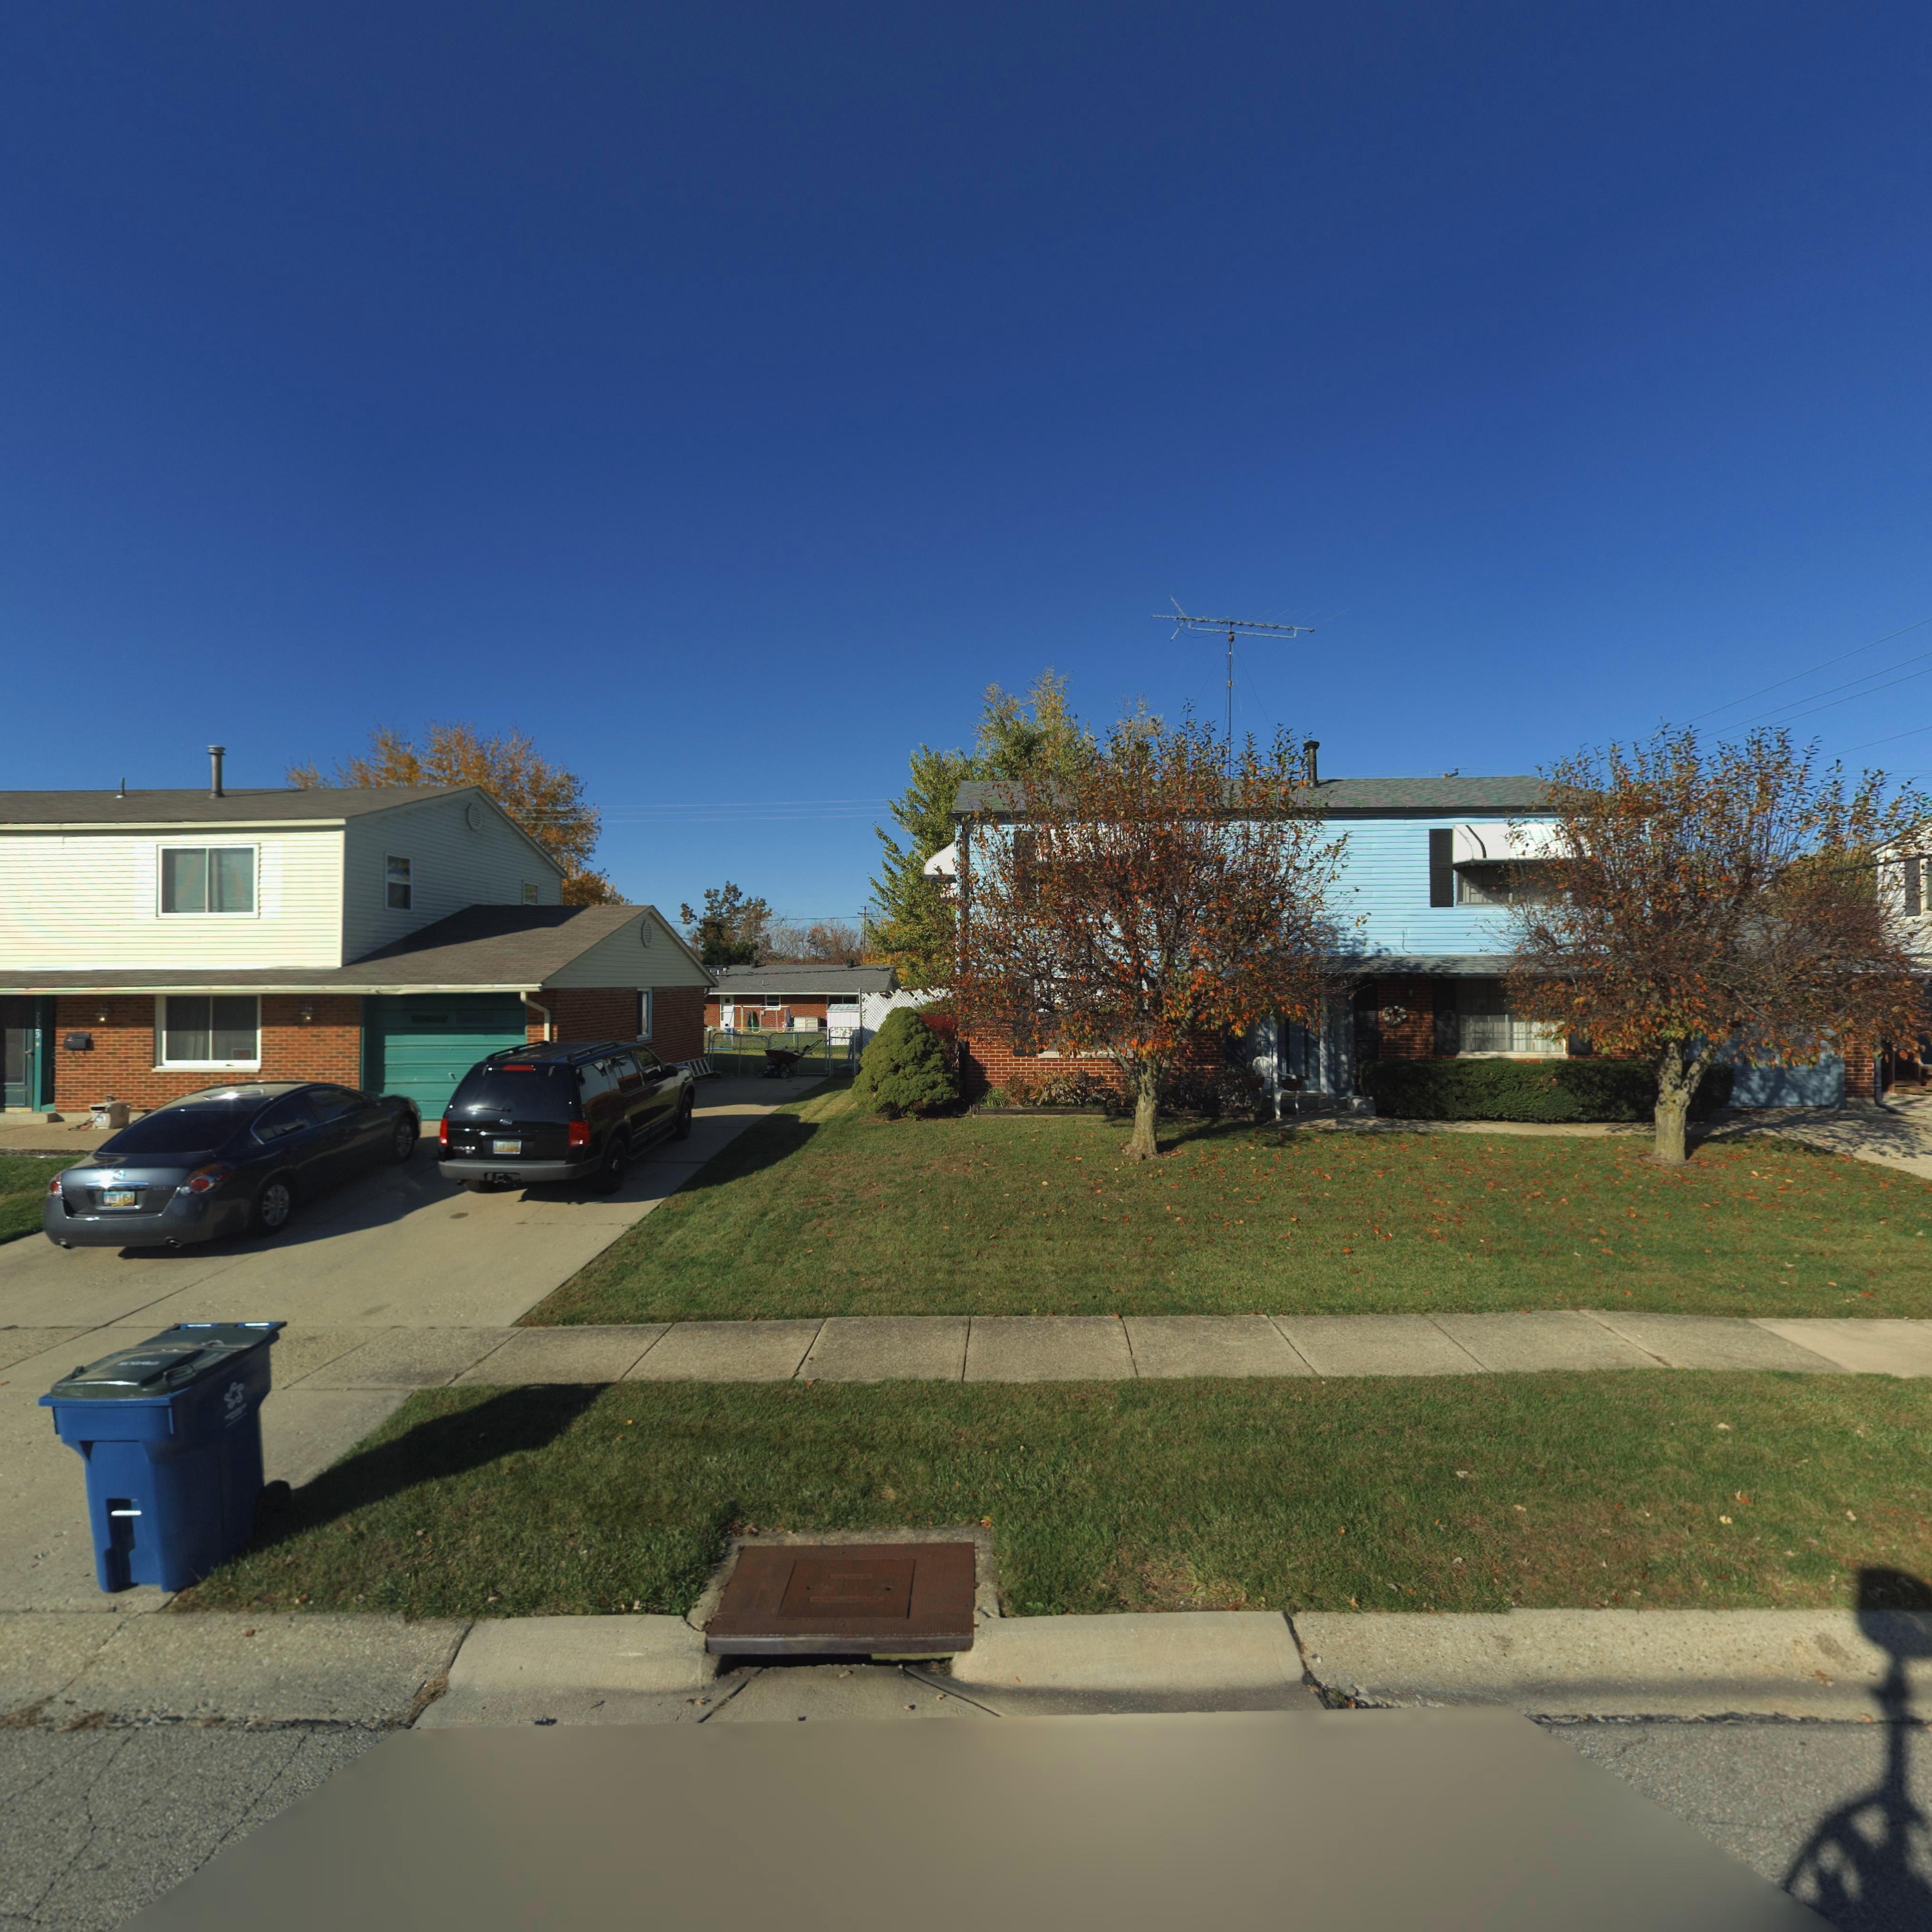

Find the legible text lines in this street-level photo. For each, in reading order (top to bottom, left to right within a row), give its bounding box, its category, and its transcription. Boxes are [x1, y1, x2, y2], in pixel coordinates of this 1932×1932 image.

[34, 1011, 41, 1039] StreetNumber: 77**
[1329, 1016, 1334, 1024] StreetNumber: 1